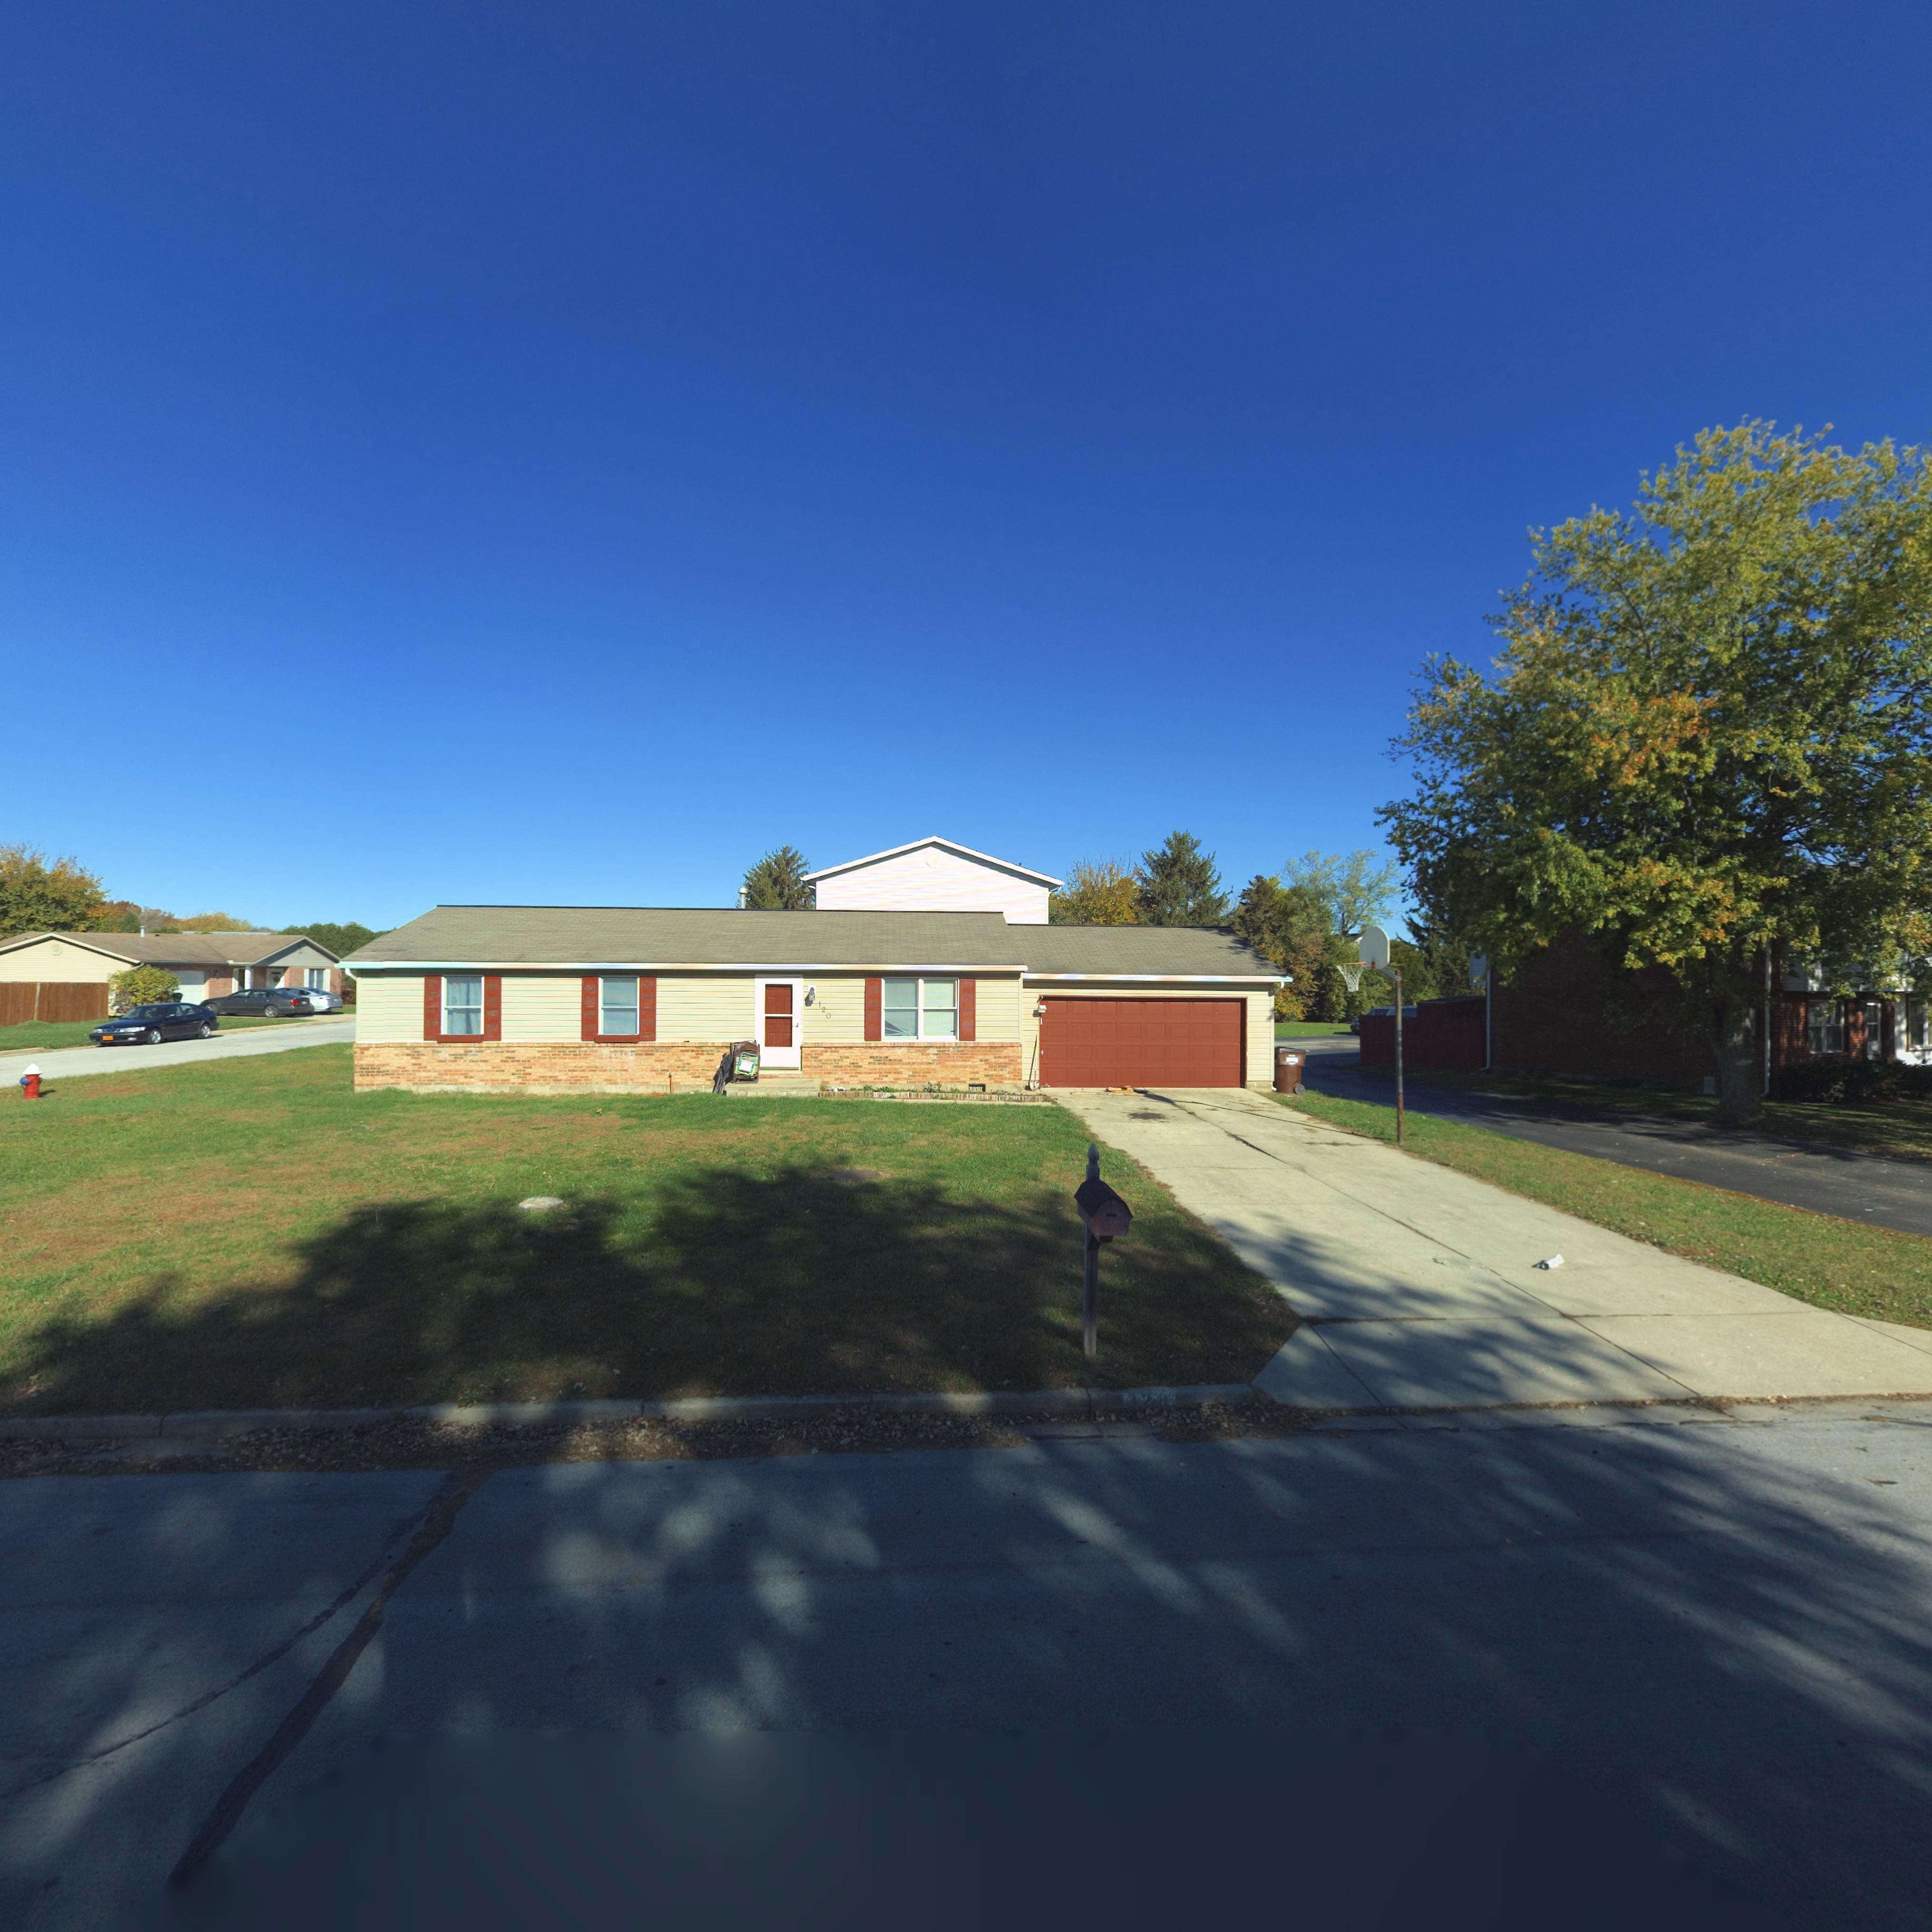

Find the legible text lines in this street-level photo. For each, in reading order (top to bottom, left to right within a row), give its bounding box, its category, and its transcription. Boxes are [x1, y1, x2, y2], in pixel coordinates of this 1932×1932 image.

[817, 1001, 831, 1019] StreetNumber: 120